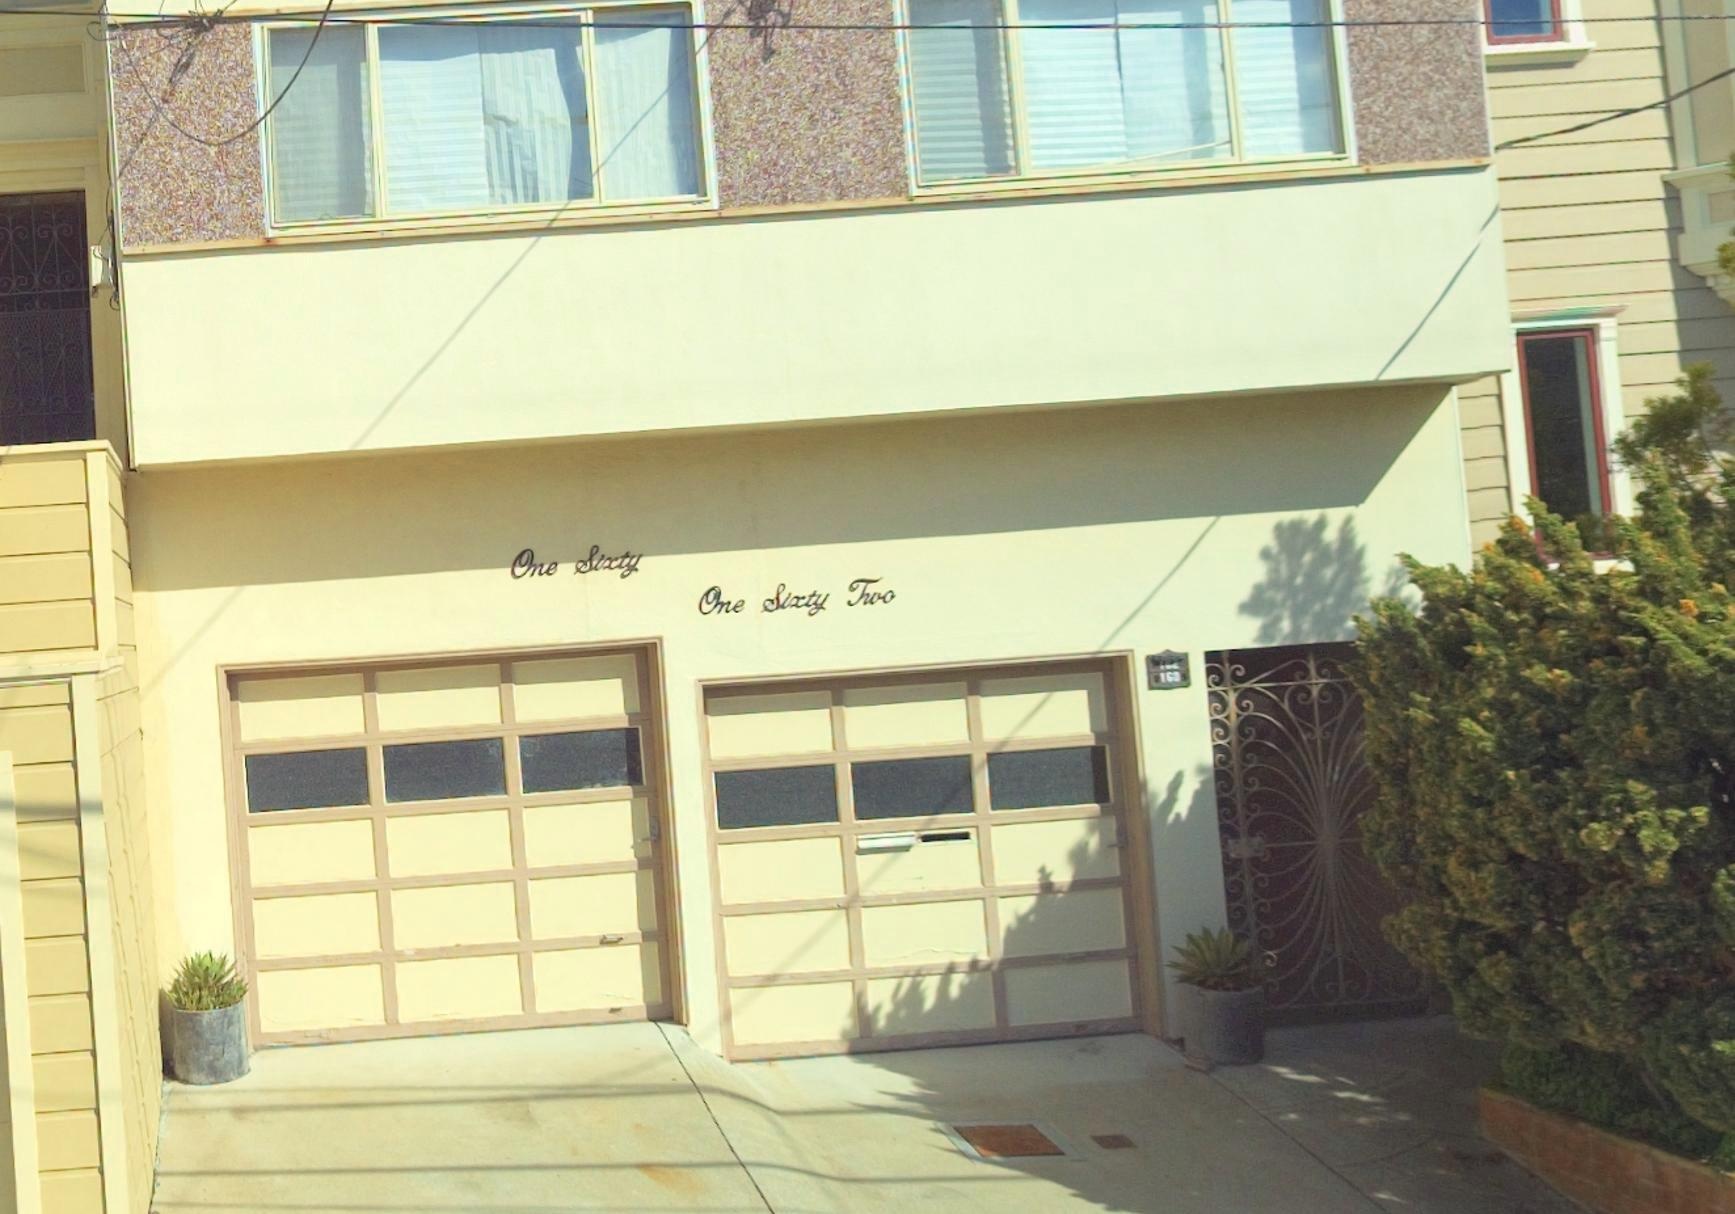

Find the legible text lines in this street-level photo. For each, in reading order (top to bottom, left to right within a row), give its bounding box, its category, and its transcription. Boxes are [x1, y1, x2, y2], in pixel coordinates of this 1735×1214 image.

[506, 541, 647, 582] StreetNumber: One Sixty
[694, 573, 899, 618] StreetNumber: One Sixty Two
[1153, 659, 1183, 669] StreetNumber: 162
[1153, 671, 1186, 684] StreetNumber: 163